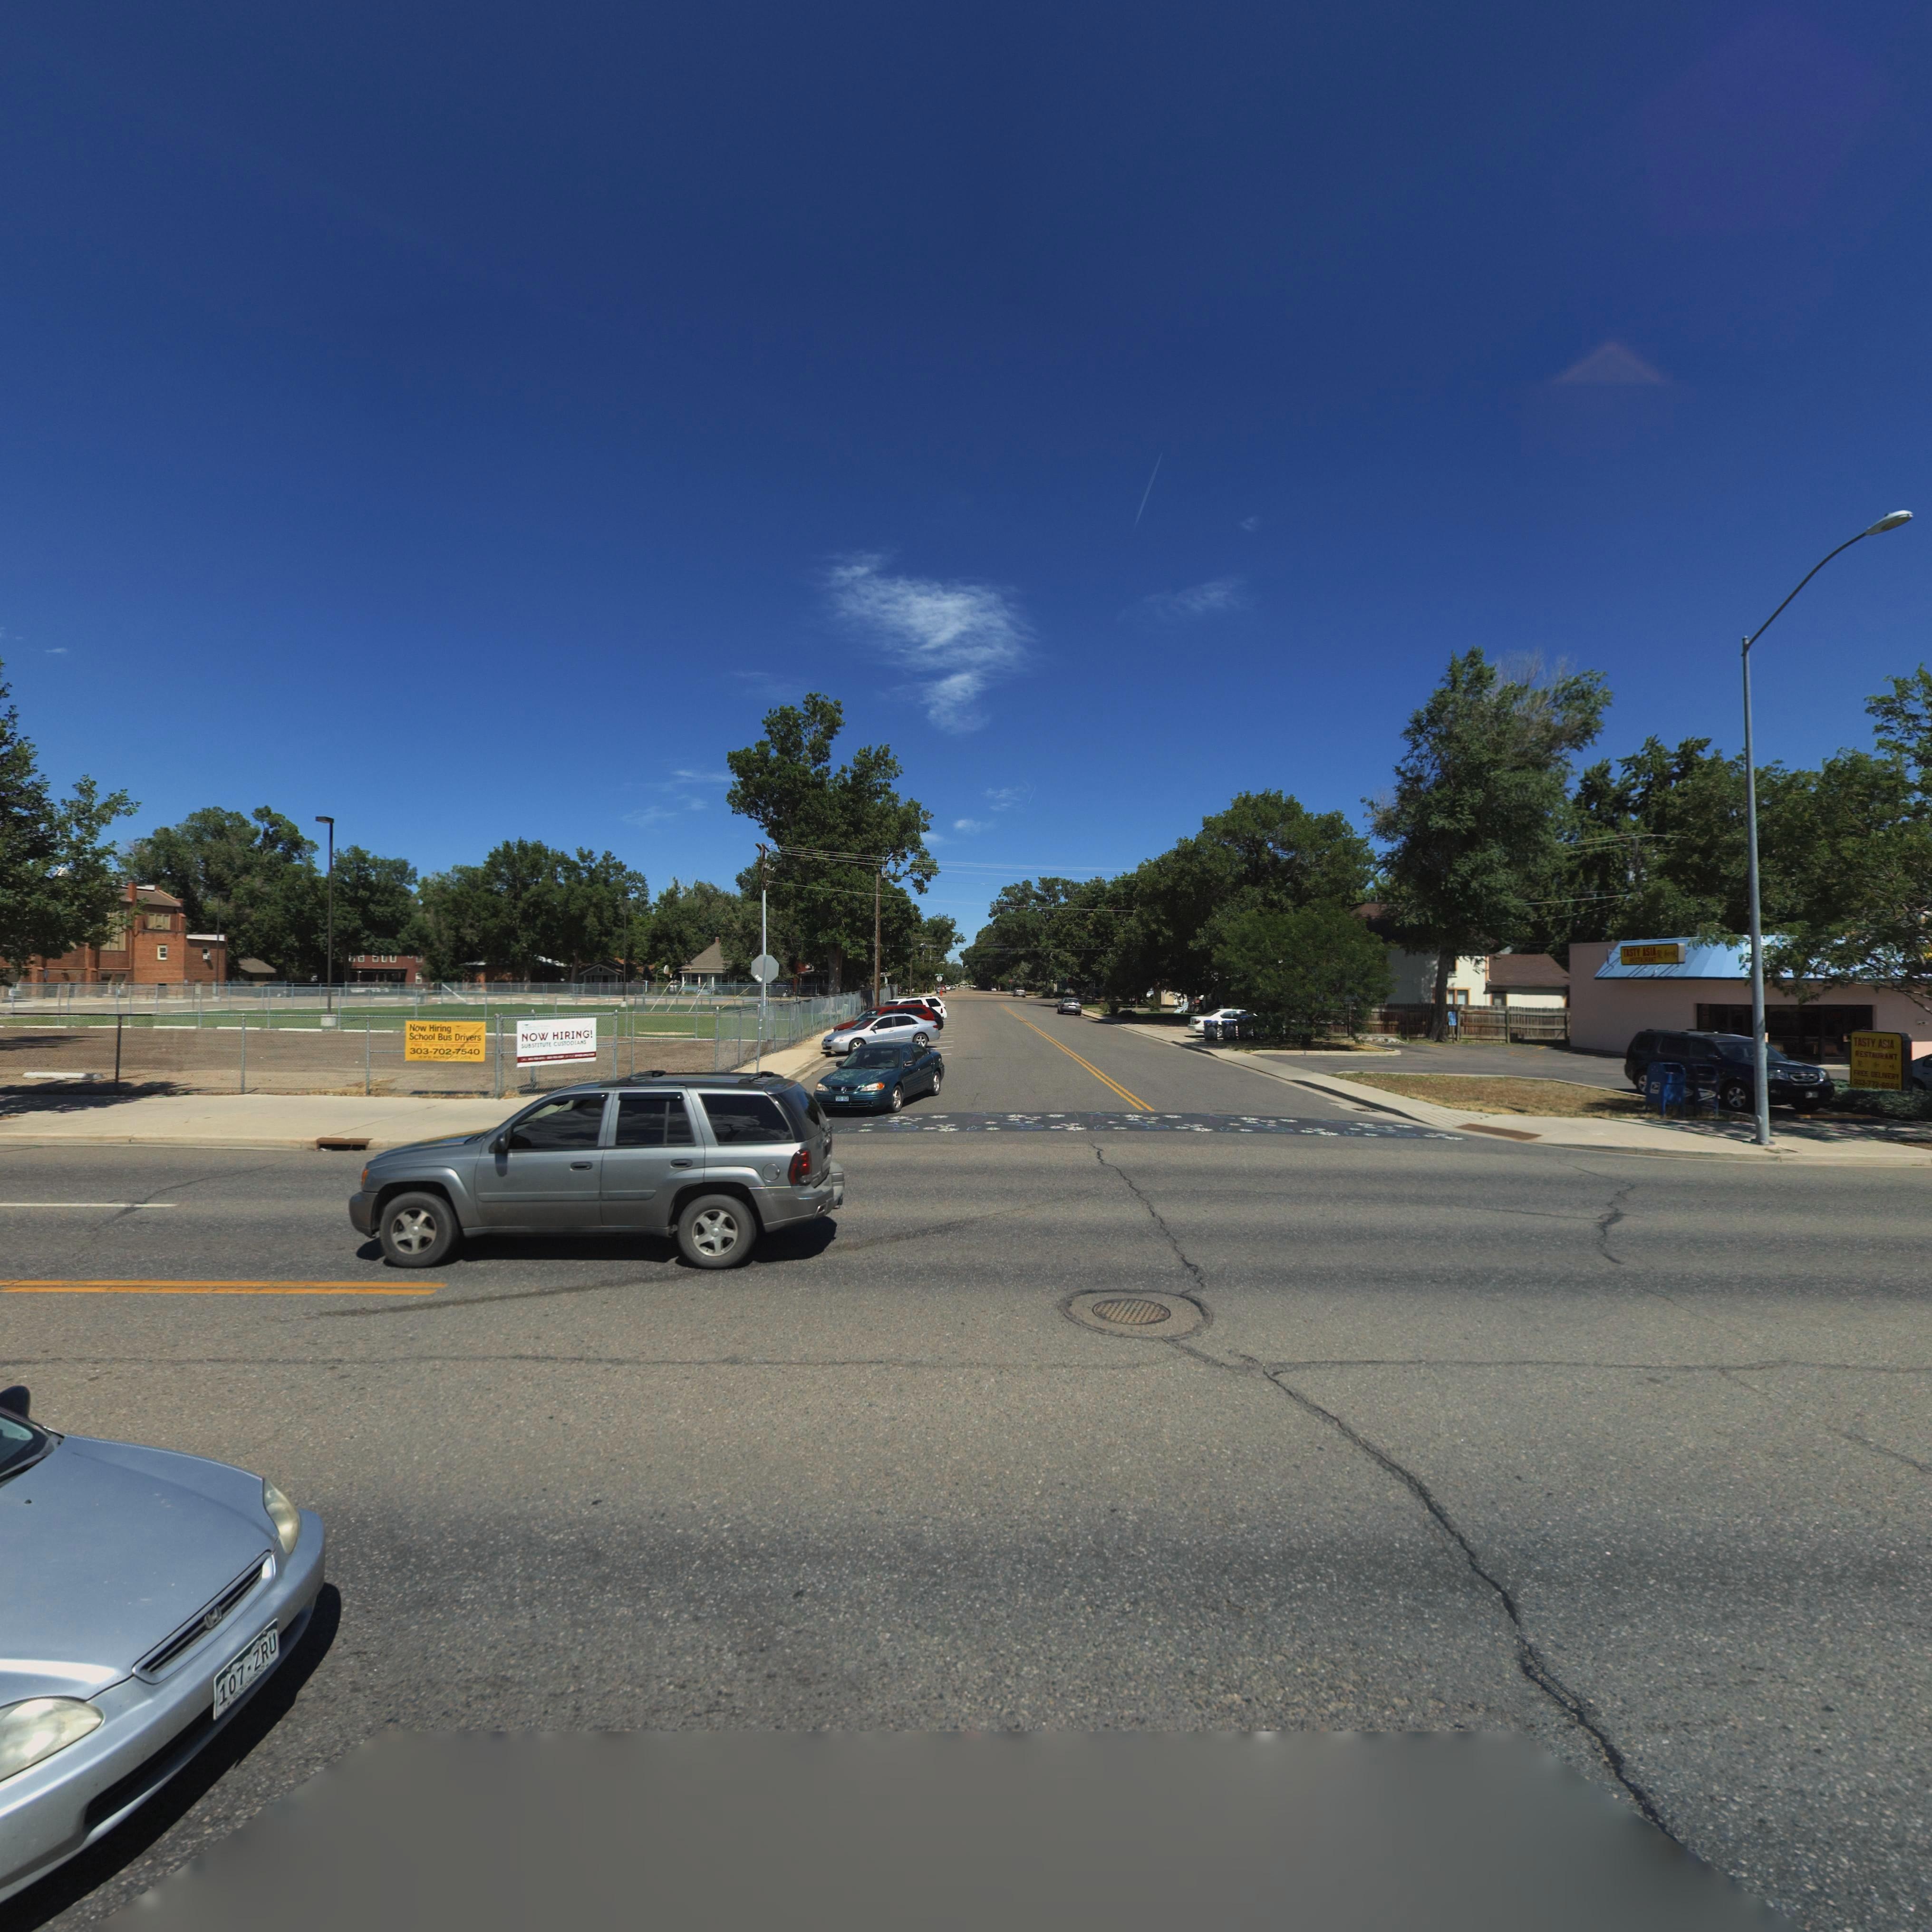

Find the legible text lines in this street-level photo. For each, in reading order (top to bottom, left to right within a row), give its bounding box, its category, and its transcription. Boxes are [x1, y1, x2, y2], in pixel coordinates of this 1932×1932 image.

[1622, 946, 1656, 957] BusinessName: TASTY ASIA
[1629, 956, 1656, 963] BusinessName: REST*UR*NT
[1853, 1036, 1895, 1050] BusinessName: TASTY ASIA
[1855, 1050, 1898, 1061] BusinessName: RESTAURANT